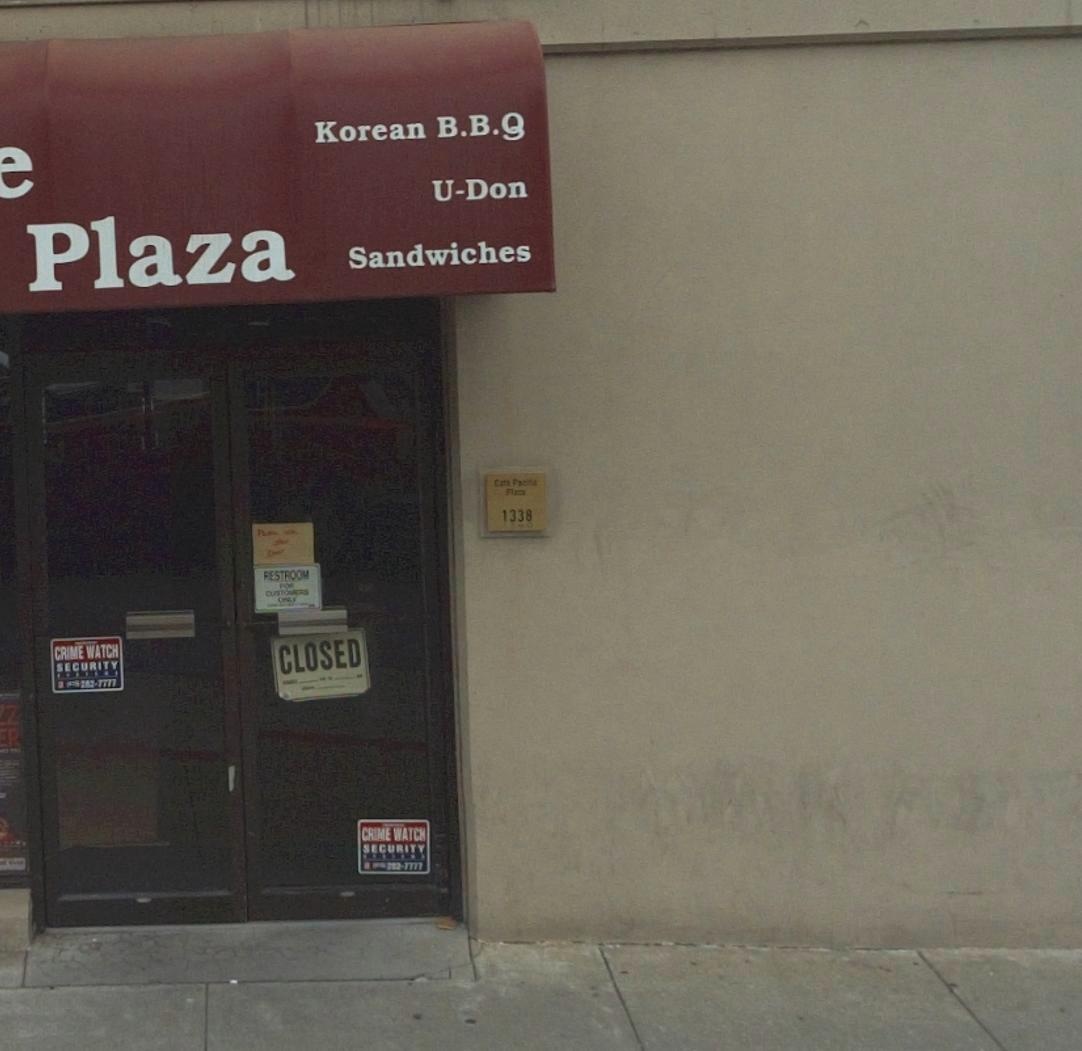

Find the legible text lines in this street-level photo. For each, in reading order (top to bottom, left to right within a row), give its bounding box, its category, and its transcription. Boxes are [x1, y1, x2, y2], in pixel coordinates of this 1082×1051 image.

[312, 110, 527, 145] None: Korean B.B.Q
[429, 177, 530, 205] None: U-Don
[24, 214, 299, 294] BusinessName: Plaza
[345, 239, 532, 272] None: Sandwiches
[504, 487, 527, 497] None: Plaza
[501, 507, 534, 524] StreetNumber: 1338
[262, 569, 310, 583] None: RESTROOM
[276, 594, 297, 604] None: ONLY
[53, 642, 120, 662] None: CRIME WATCH
[277, 637, 362, 677] None: CLOSED
[54, 659, 119, 674] None: SECURITY
[96, 678, 117, 689] None: 7777
[4, 704, 20, 726] None: Z
[6, 727, 22, 749] None: R
[361, 825, 427, 843] None: CRIME WATCH
[362, 842, 426, 855] None: SECURITY
[403, 861, 424, 871] None: 7777